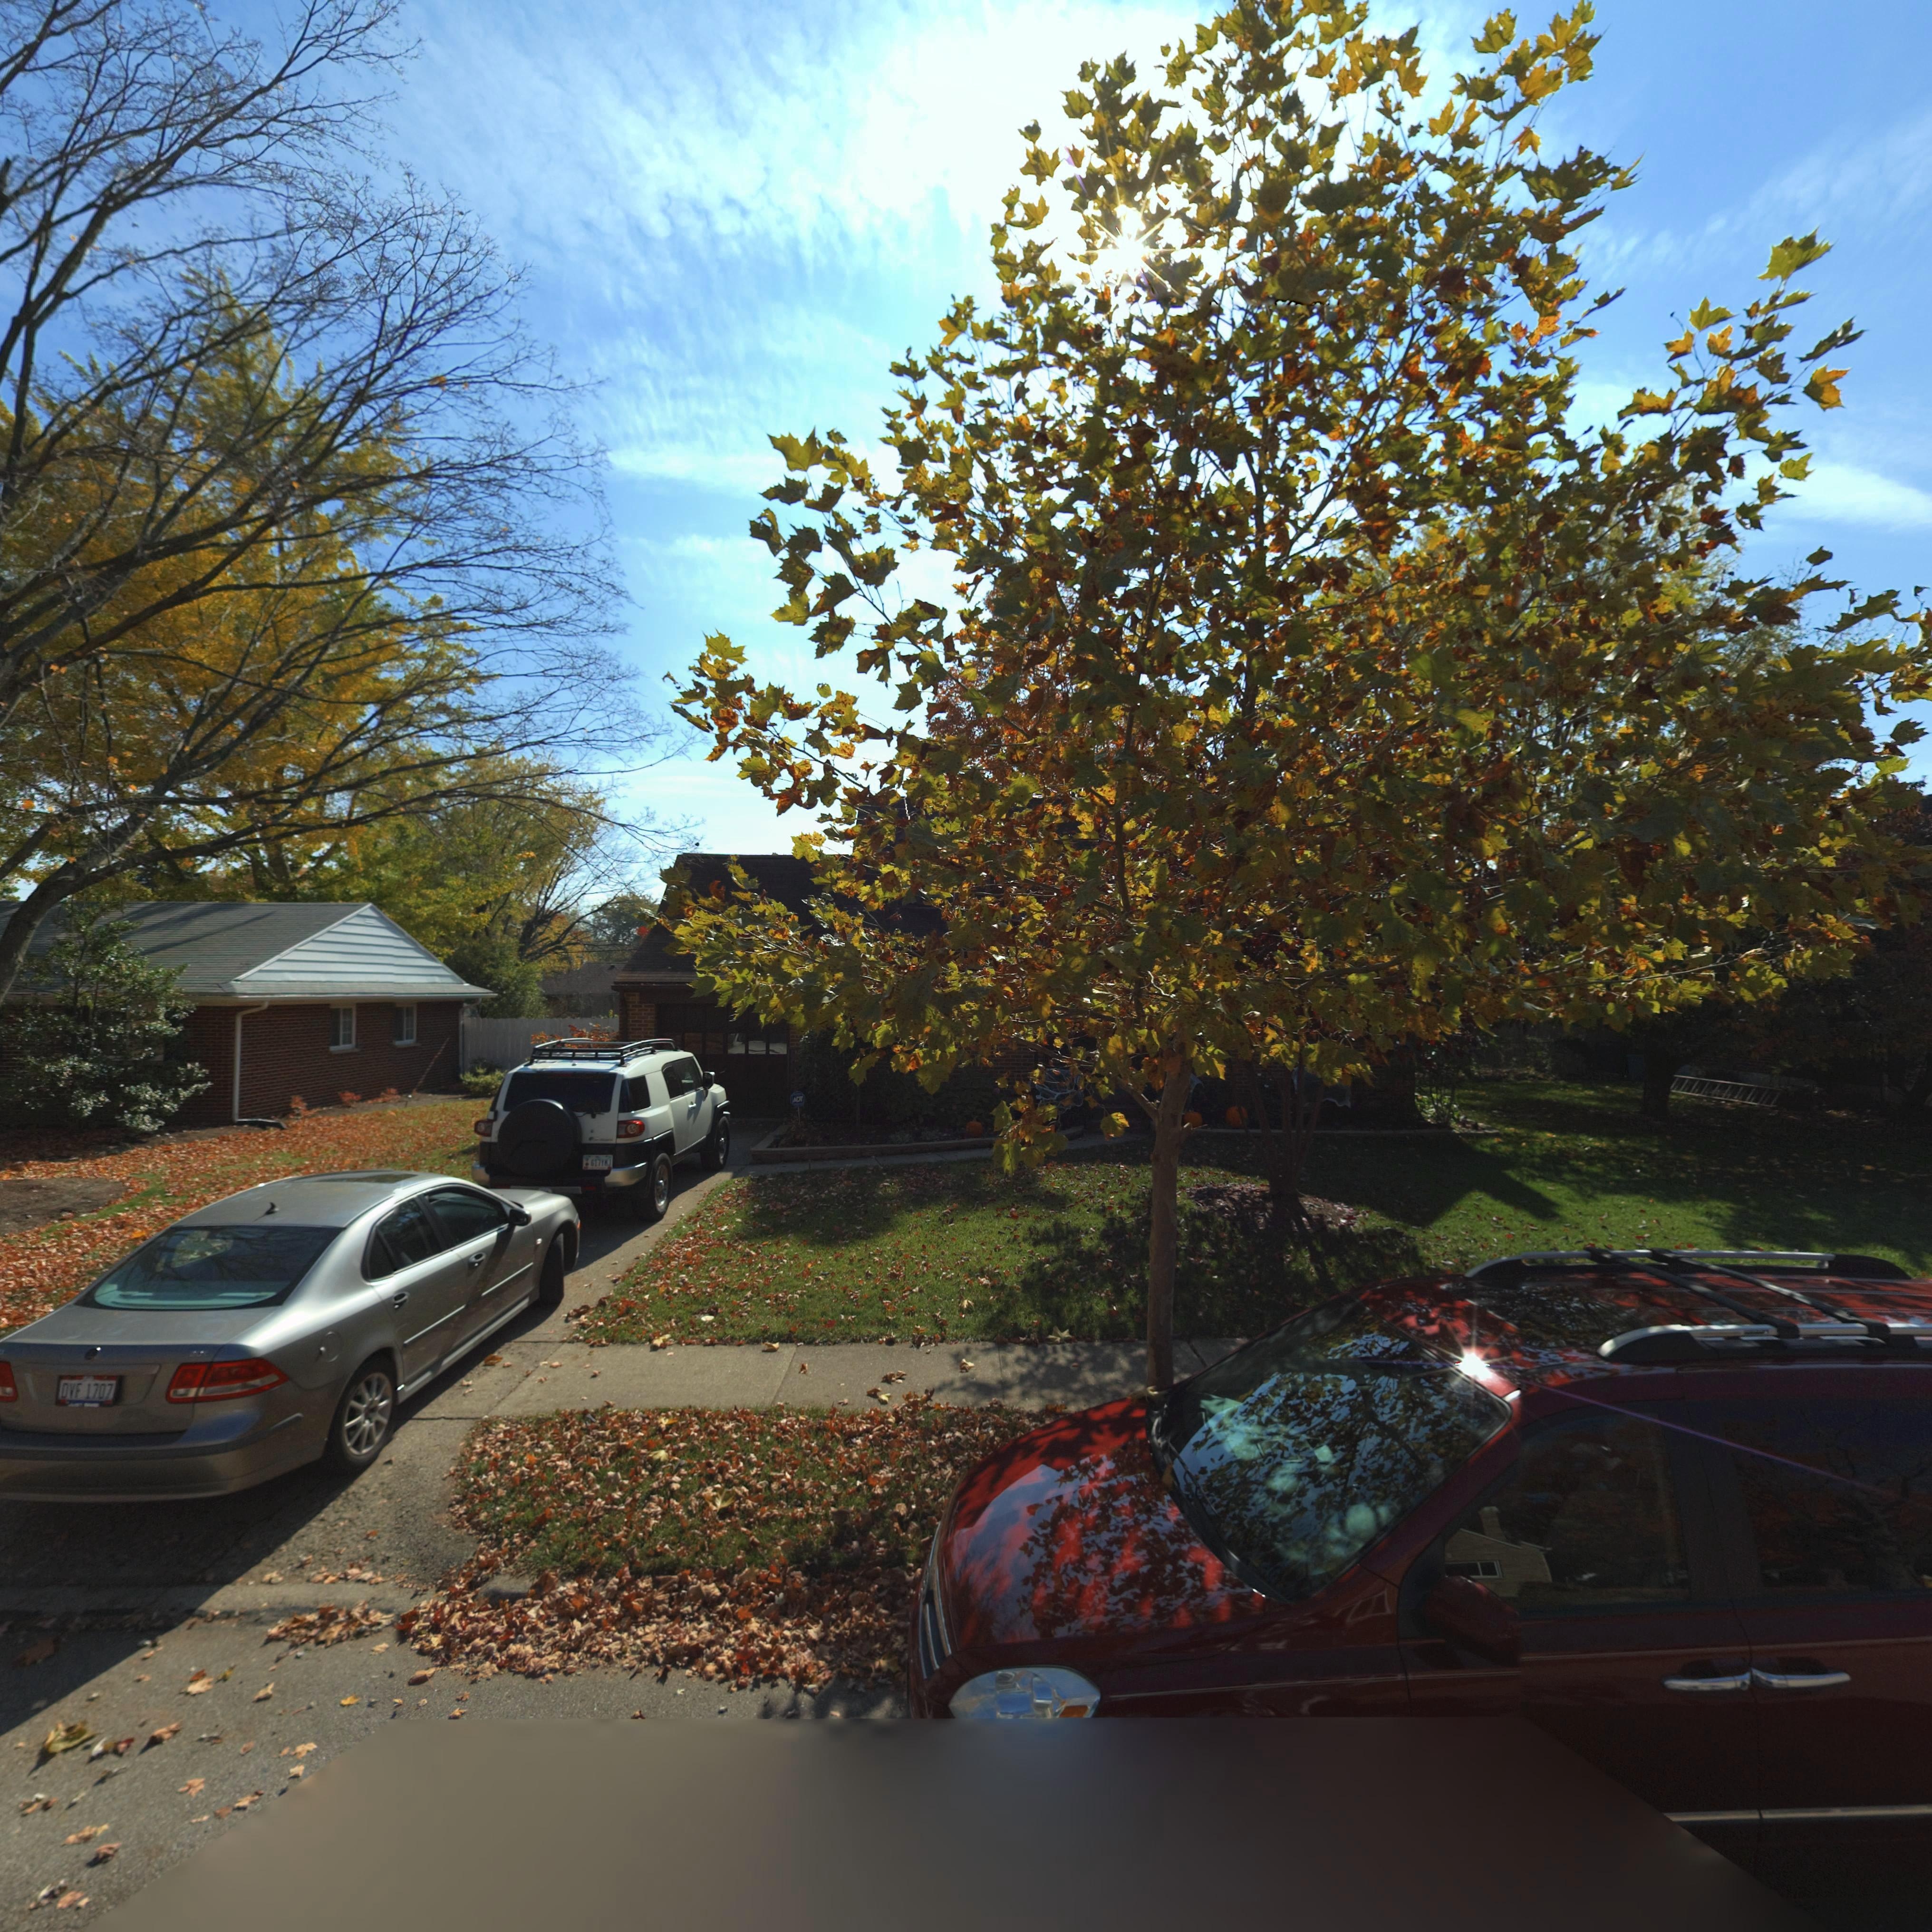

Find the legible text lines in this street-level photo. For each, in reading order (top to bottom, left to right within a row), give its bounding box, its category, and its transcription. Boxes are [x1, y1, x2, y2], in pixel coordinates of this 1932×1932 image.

[792, 1095, 804, 1104] None: ADT
[589, 1157, 613, 1168] None: 617V*J
[58, 1381, 116, 1402] None: DVF1707